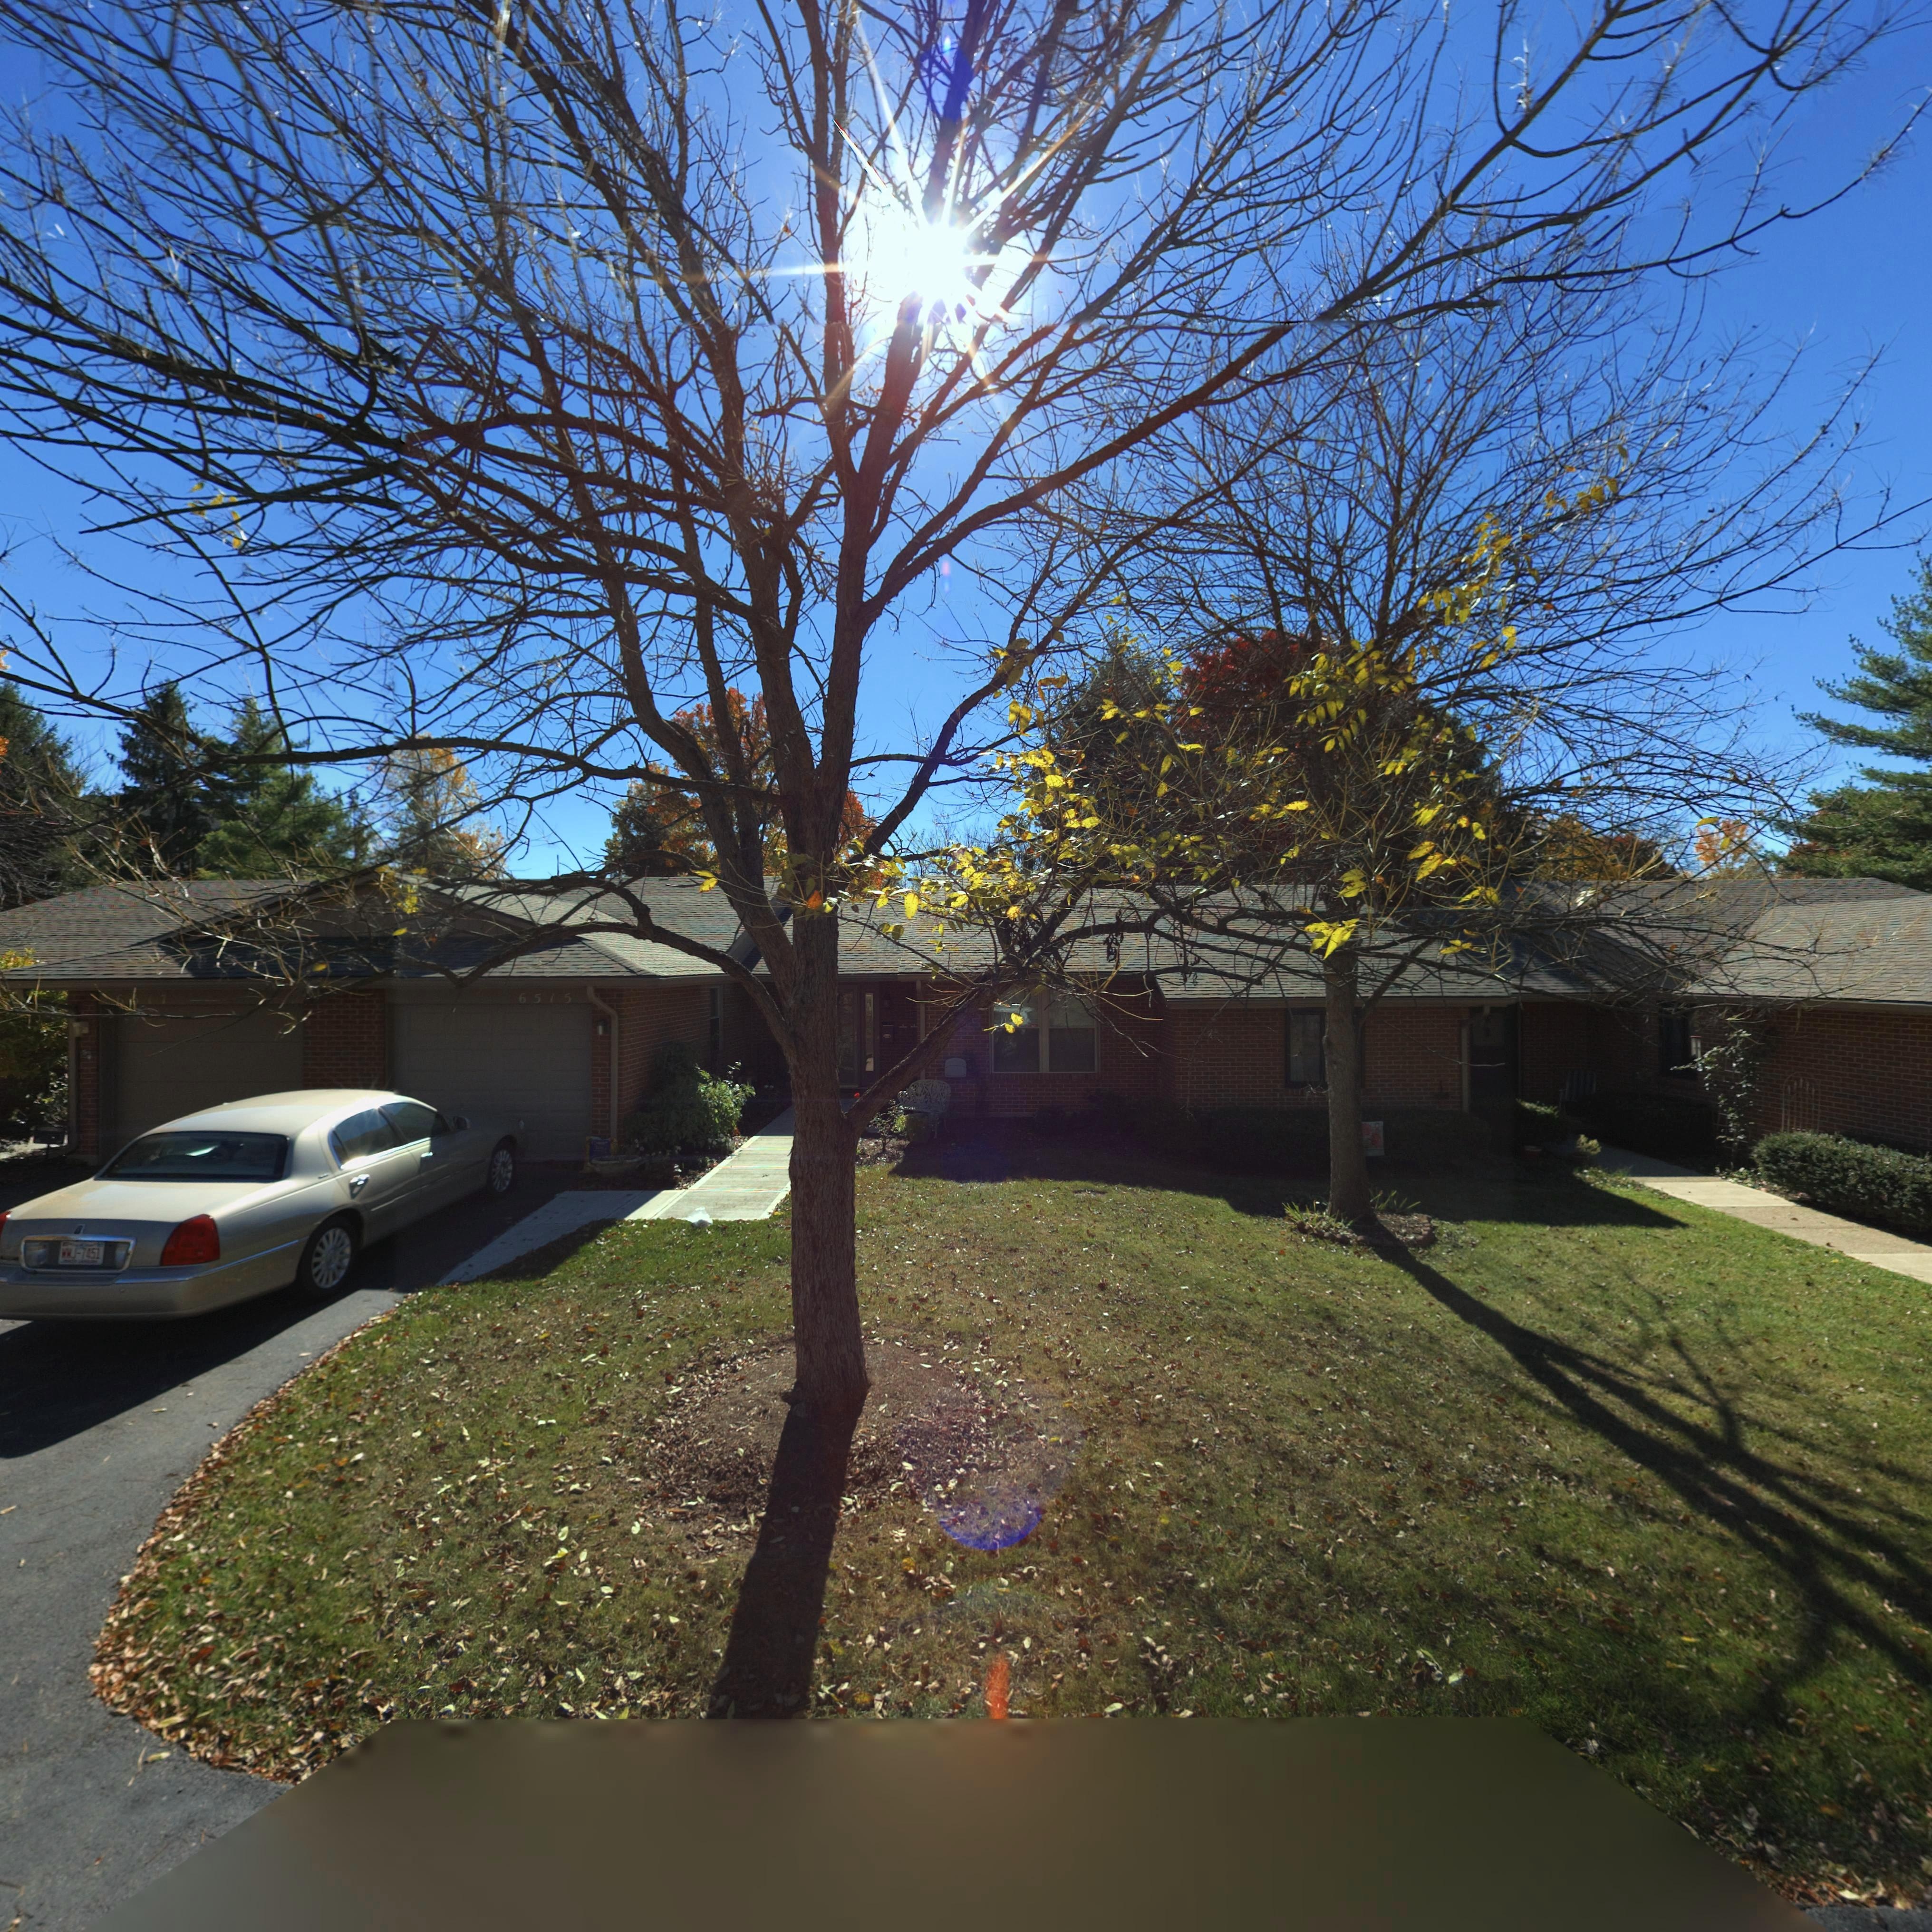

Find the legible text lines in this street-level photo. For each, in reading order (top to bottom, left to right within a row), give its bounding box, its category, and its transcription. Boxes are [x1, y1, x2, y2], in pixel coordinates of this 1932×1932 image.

[114, 992, 168, 1005] StreetNumber: **17
[518, 991, 572, 1005] StreetNumber: 6515